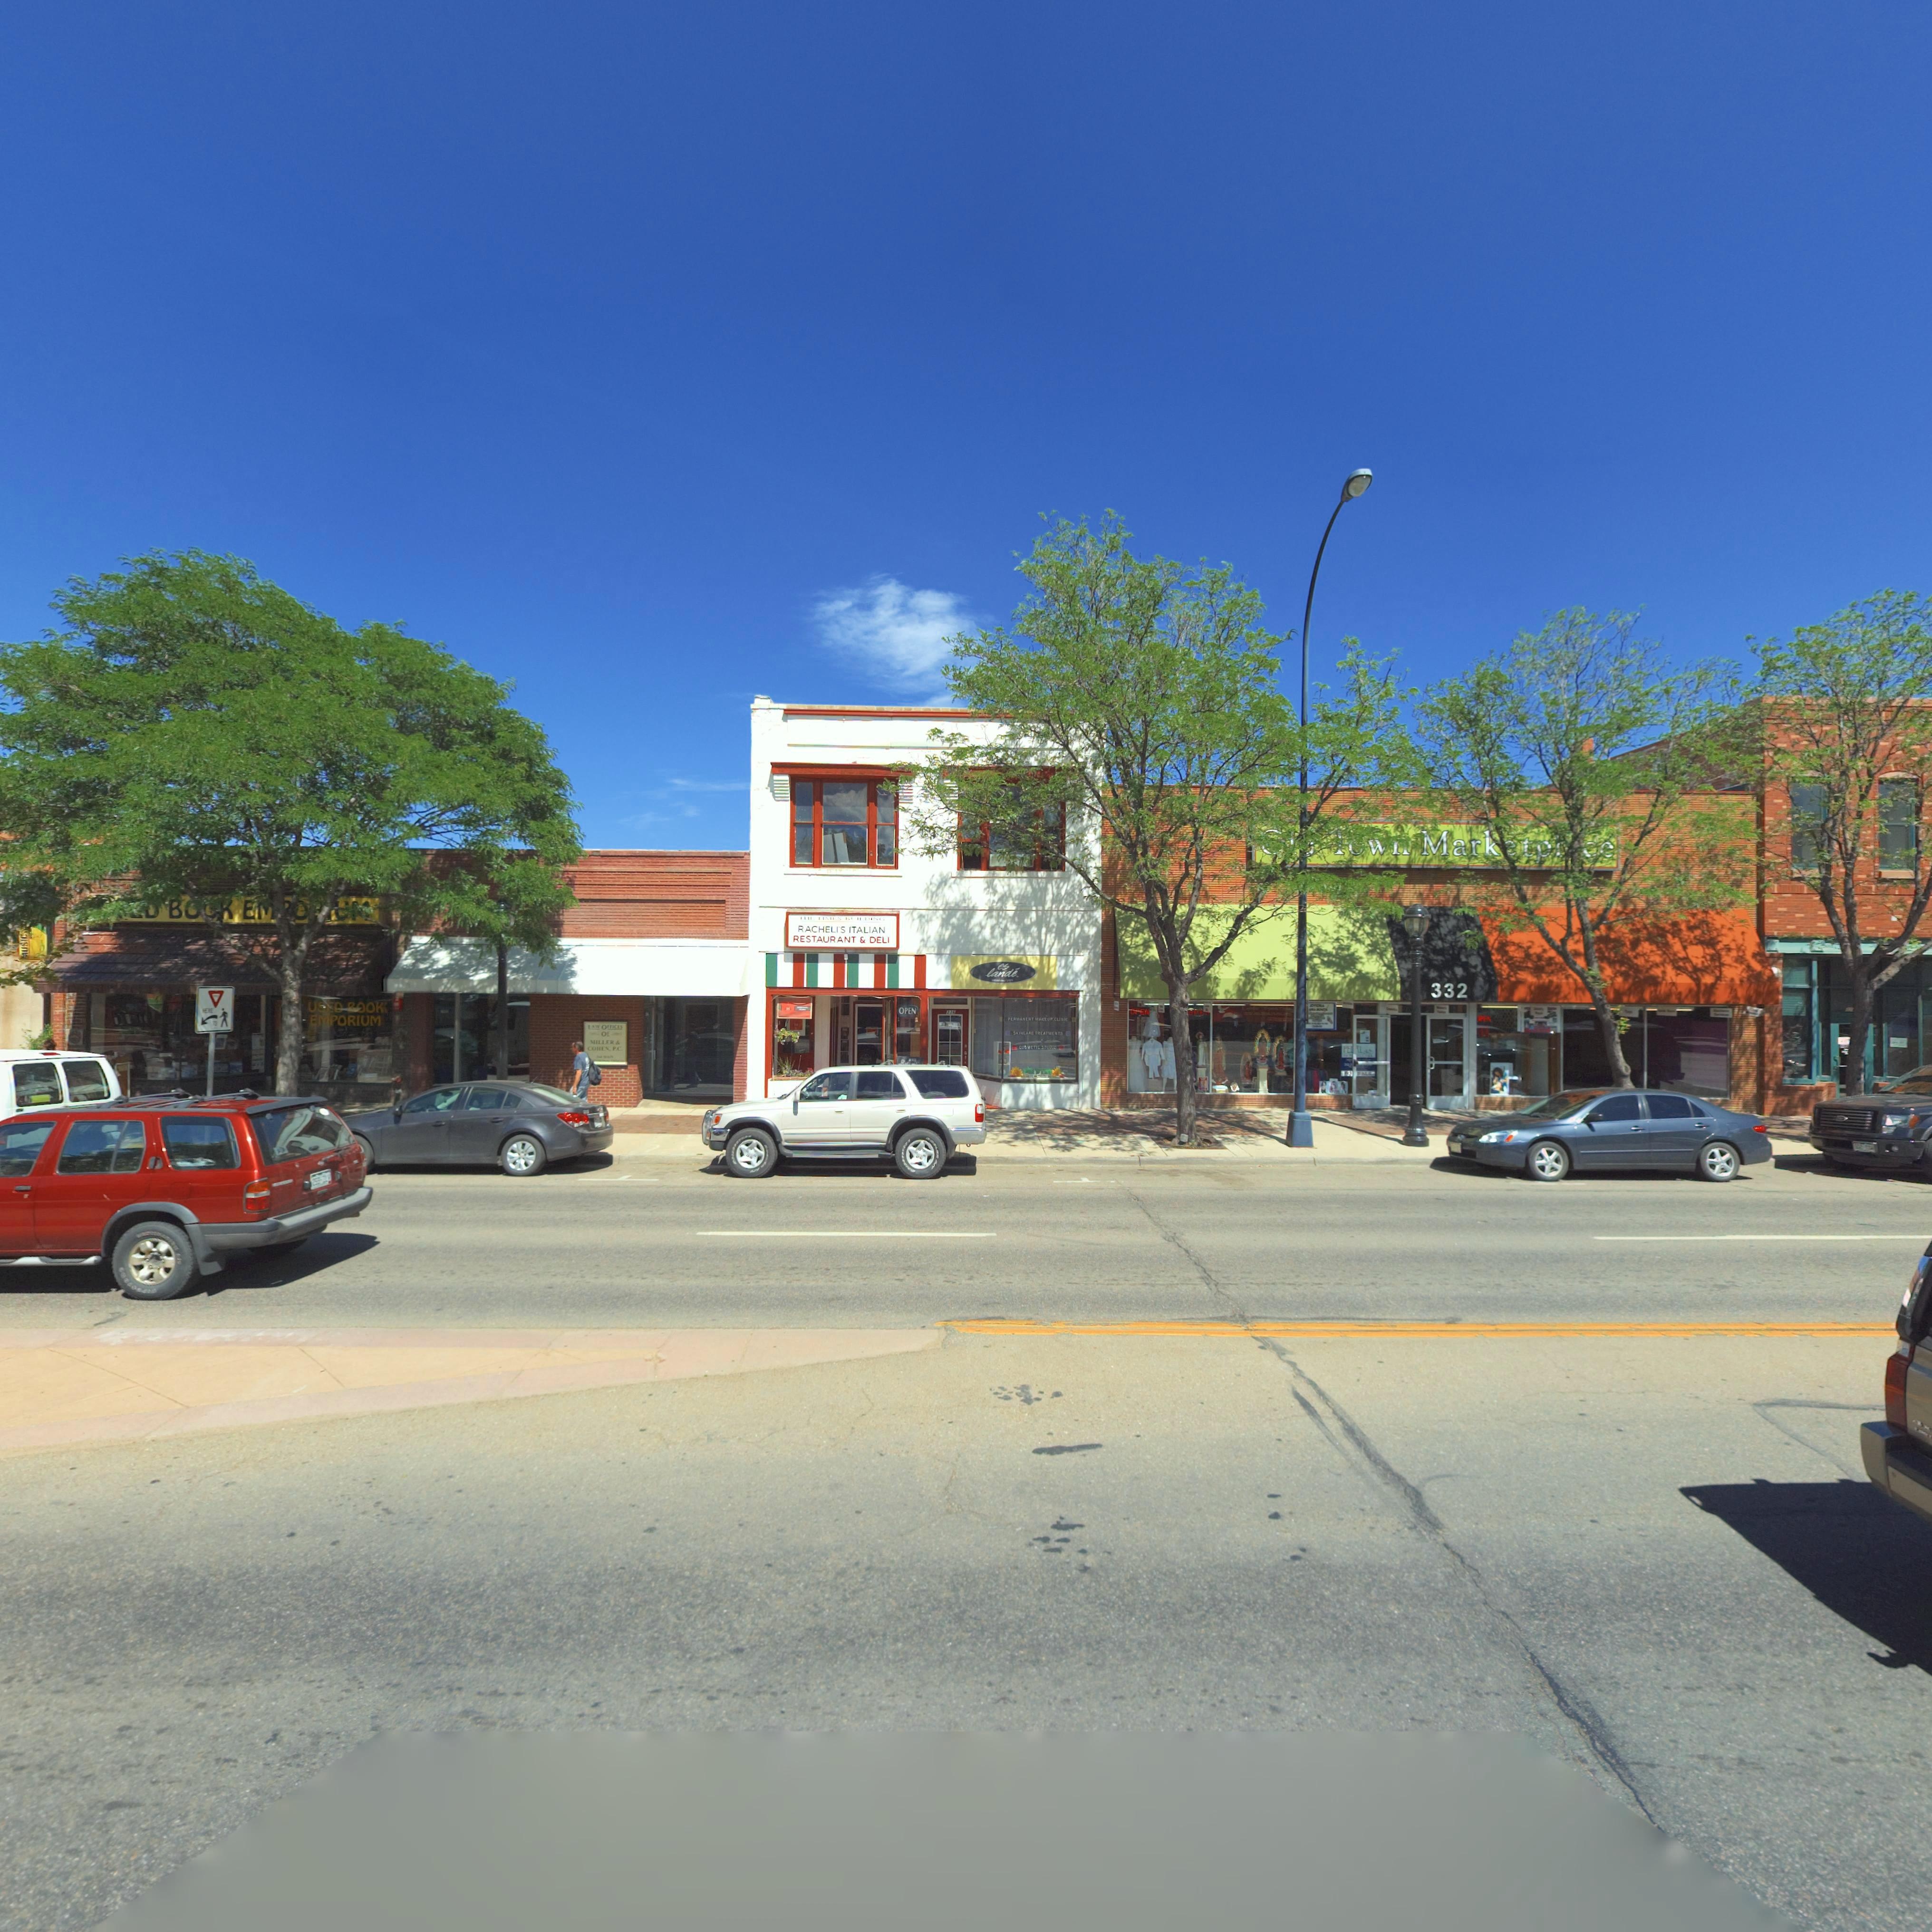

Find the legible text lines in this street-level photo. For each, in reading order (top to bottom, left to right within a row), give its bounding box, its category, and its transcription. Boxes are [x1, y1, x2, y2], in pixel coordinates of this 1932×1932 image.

[1420, 828, 1615, 857] BusinessName: Marketp**ce
[115, 896, 372, 922] BusinessName: **D BO*K EM*O**UM
[797, 925, 886, 934] BusinessName: RACHELI'S ITALIAN
[792, 935, 889, 944] BusinessName: RESTAURANT & DELI
[997, 963, 1010, 970] BusinessName: es
[986, 967, 1020, 977] BusinessName: lande
[1430, 982, 1468, 998] StreetNumber: 332
[307, 1001, 387, 1014] BusinessName: USED BOOK
[946, 1010, 955, 1014] None: 3**
[309, 1014, 382, 1026] BusinessName: EMPORIUM
[589, 1039, 620, 1044] BusinessName: MILLER &
[587, 1045, 623, 1051] BusinessName: COHEN. P.C.